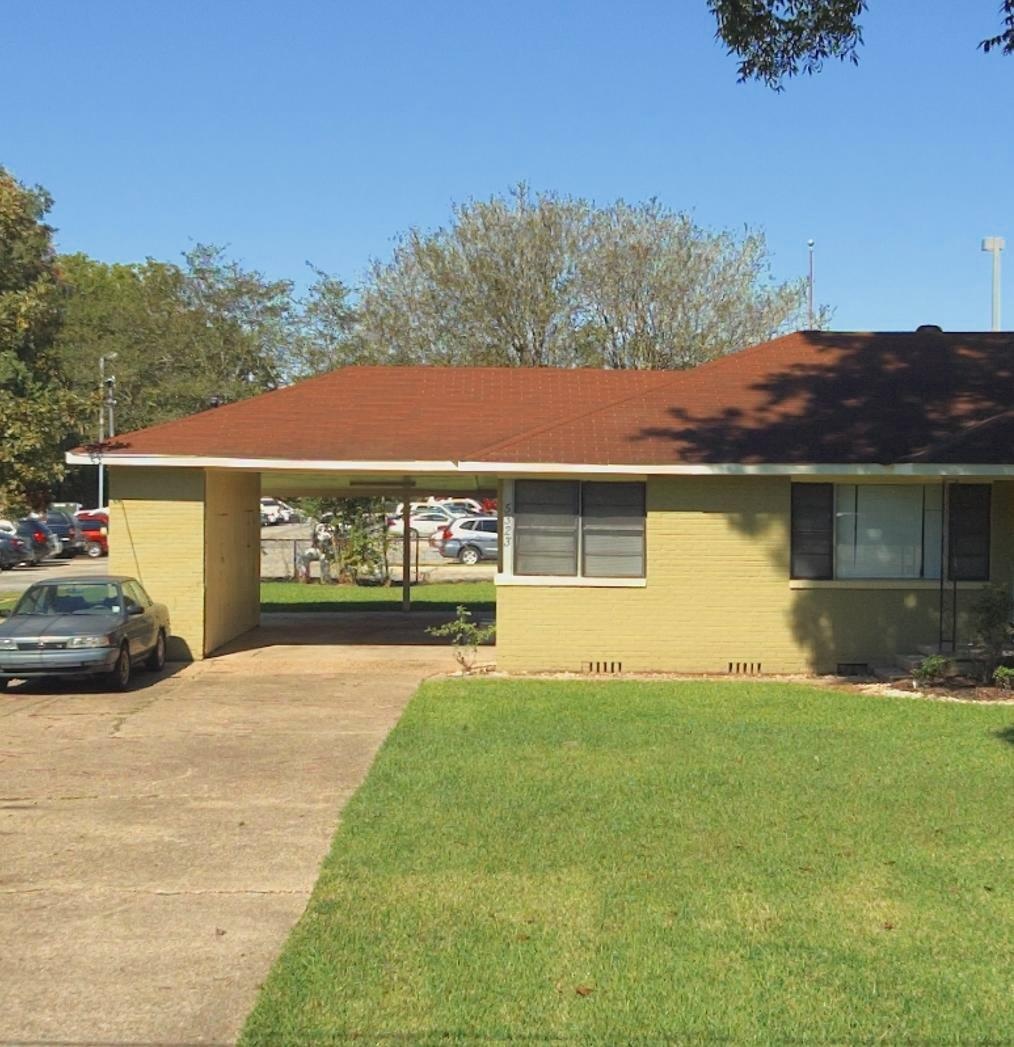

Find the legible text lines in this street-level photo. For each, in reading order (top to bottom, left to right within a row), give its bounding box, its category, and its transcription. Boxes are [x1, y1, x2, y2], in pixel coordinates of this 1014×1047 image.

[502, 501, 513, 547] StreetNumber: 5323